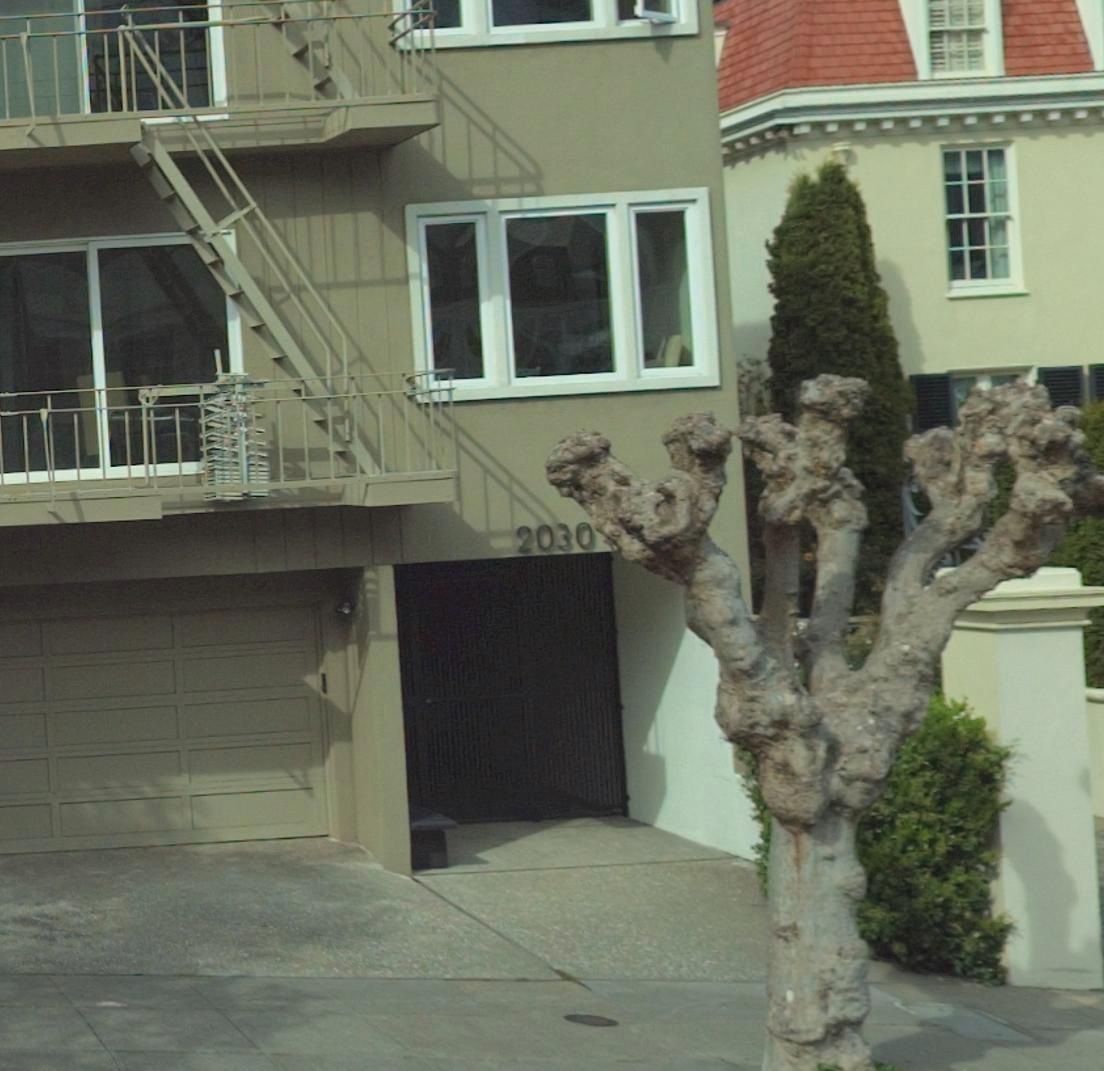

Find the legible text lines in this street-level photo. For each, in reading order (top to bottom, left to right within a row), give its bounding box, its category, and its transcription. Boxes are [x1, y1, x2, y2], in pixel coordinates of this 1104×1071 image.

[515, 521, 595, 555] StreetNumber: 2030